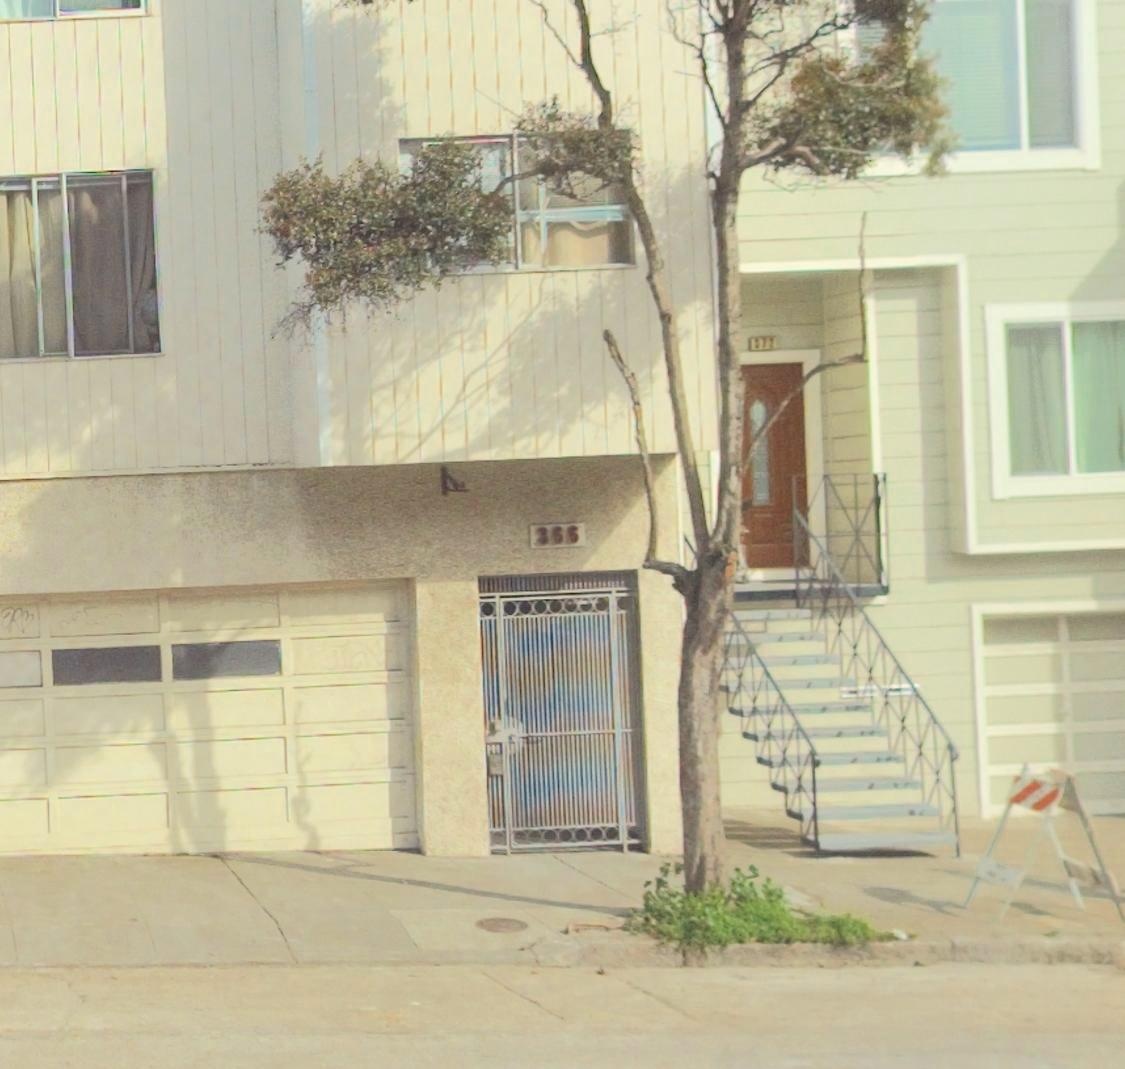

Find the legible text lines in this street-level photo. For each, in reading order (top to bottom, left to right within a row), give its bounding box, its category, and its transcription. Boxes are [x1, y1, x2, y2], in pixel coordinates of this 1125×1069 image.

[752, 336, 776, 350] StreetNumber: 372
[534, 525, 581, 544] StreetNumber: 366